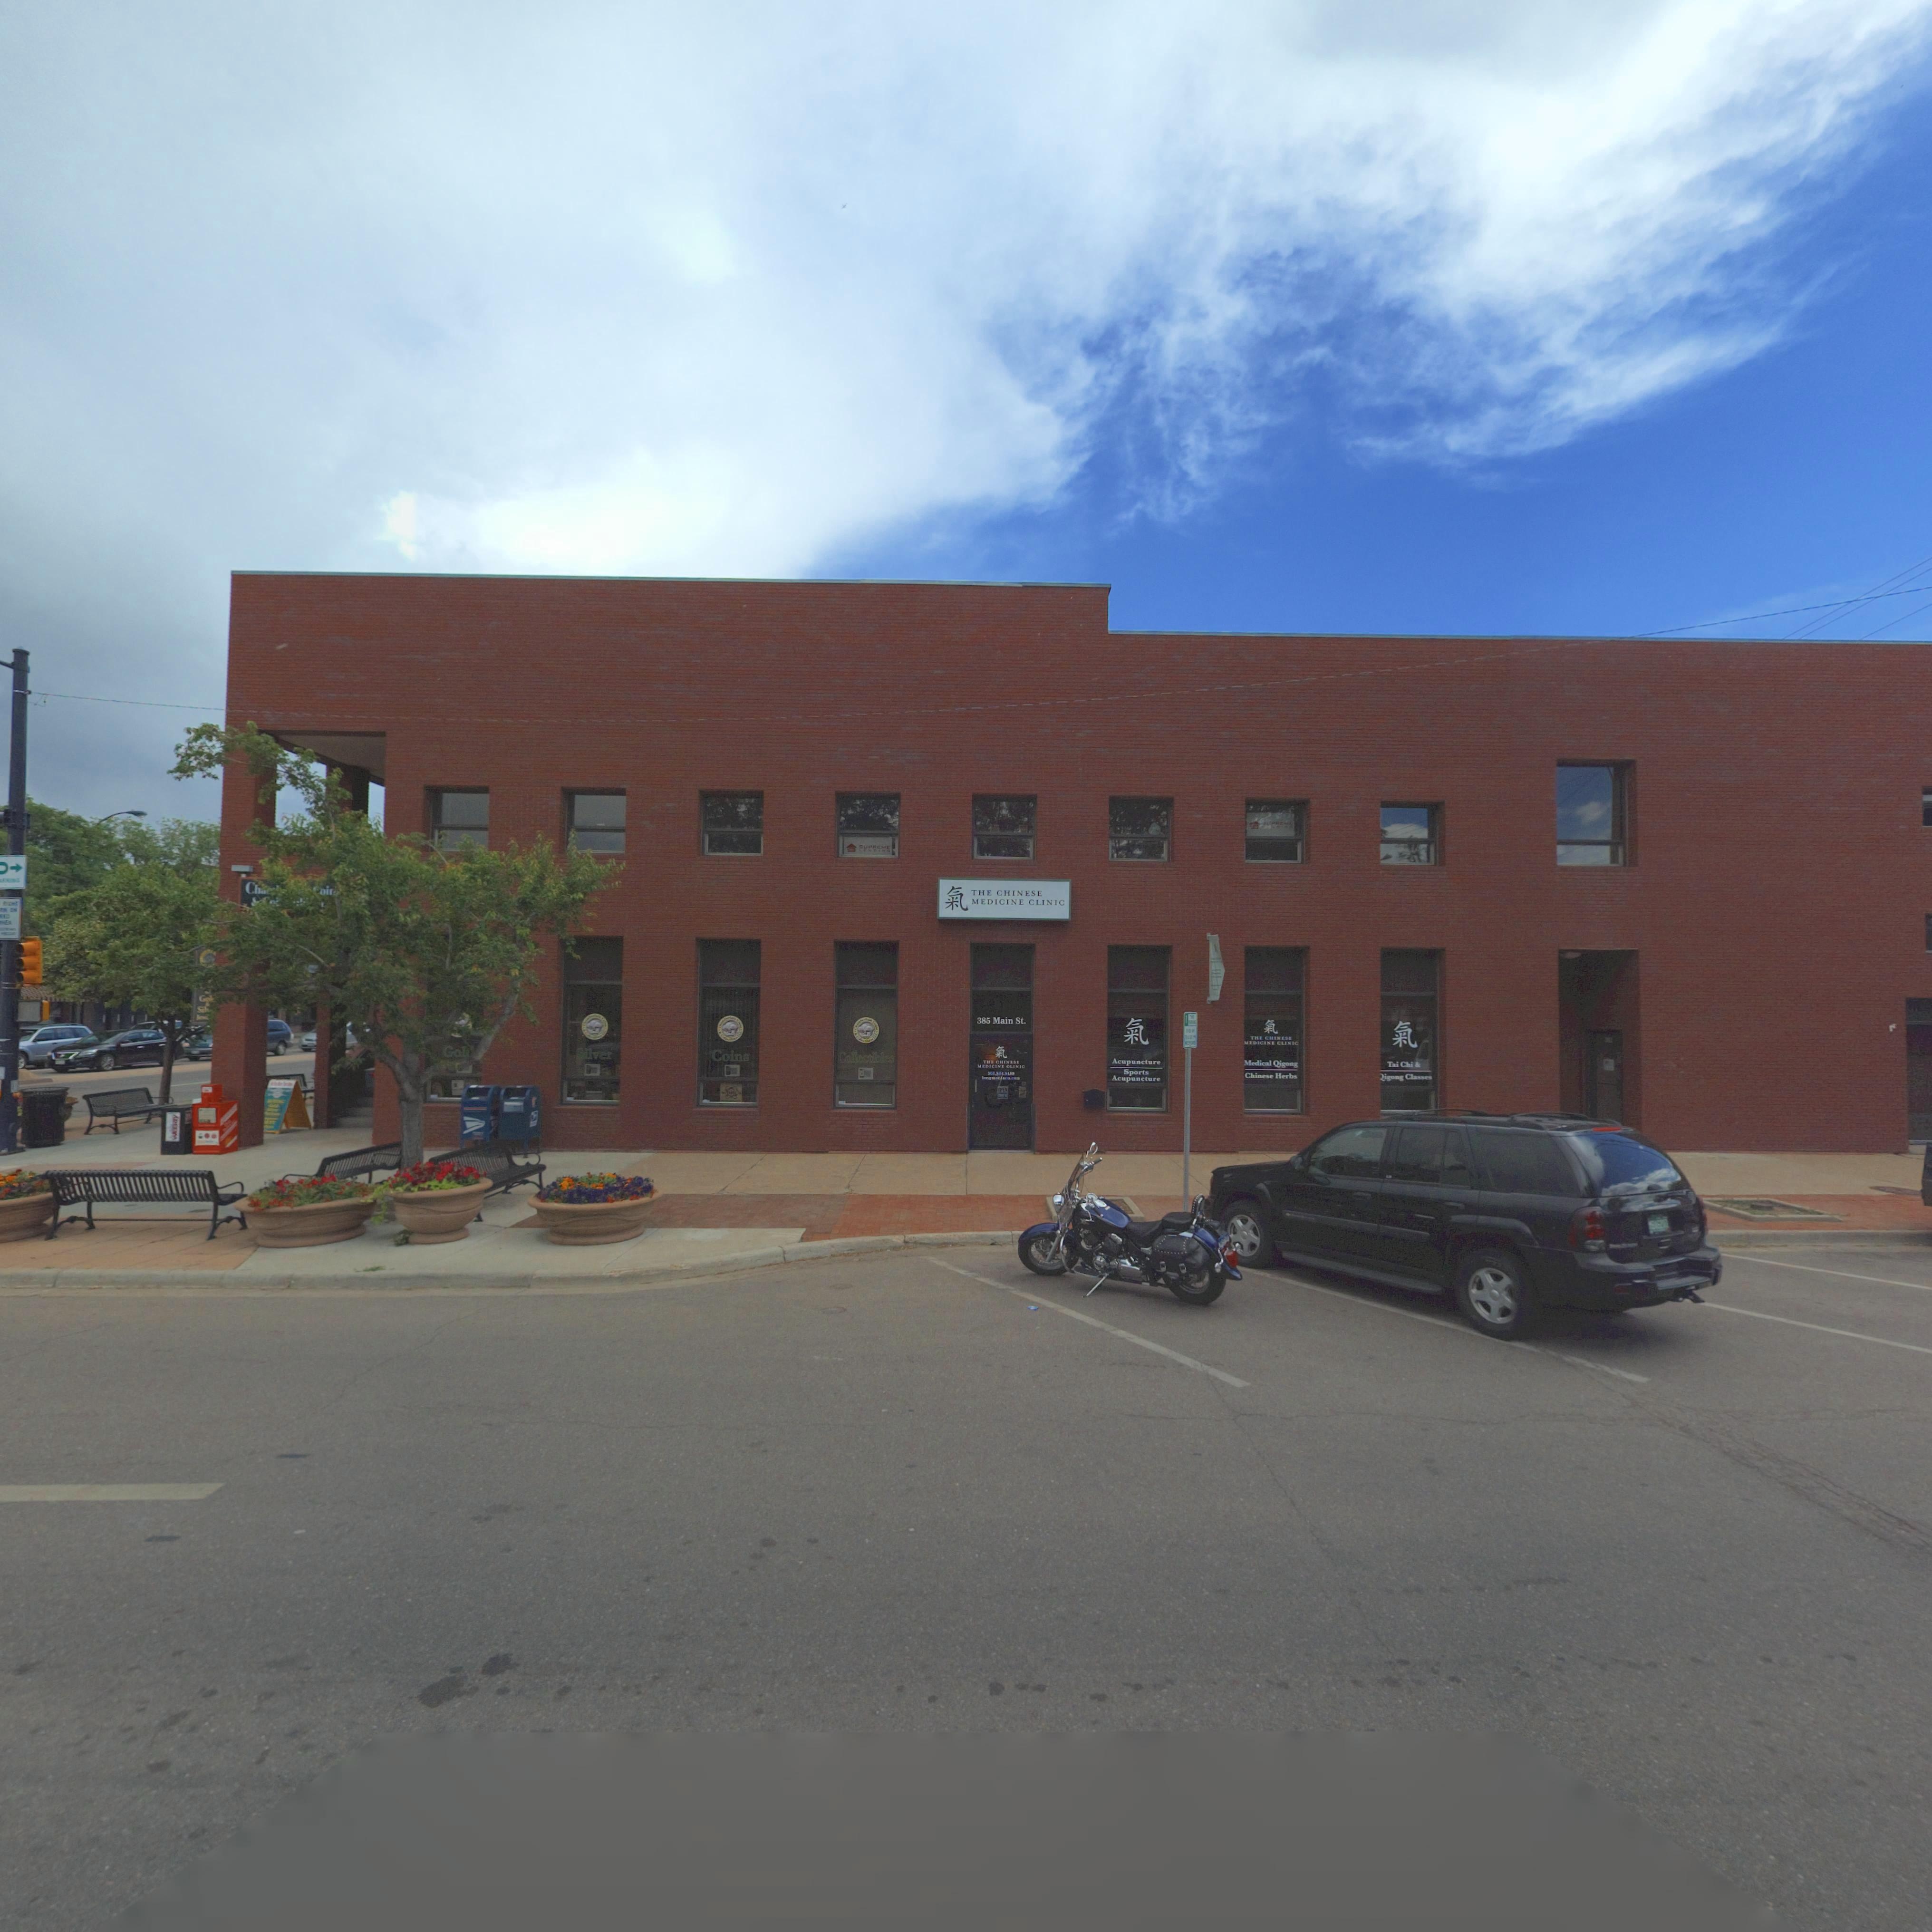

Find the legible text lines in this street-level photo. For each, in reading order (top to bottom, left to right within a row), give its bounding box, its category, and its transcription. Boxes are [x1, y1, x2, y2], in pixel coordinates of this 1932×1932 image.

[1262, 821, 1293, 825] BusinessName: *UPREME
[859, 844, 890, 850] BusinessName: SUPREME
[859, 848, 890, 852] BusinessName: LENDING
[245, 881, 260, 894] BusinessName: C*
[319, 885, 333, 896] BusinessName: oi*
[970, 890, 1042, 897] BusinessName: THE CHINESE
[971, 898, 1064, 906] BusinessName: Medicine Clinic
[976, 1016, 991, 1024] StreetNumber: 385
[992, 1017, 1026, 1024] StreetName: Main St.
[982, 1060, 1019, 1064] BusinessName: THE CHINESE
[977, 1064, 1024, 1068] BusinessName: MEDICINE CLINIC